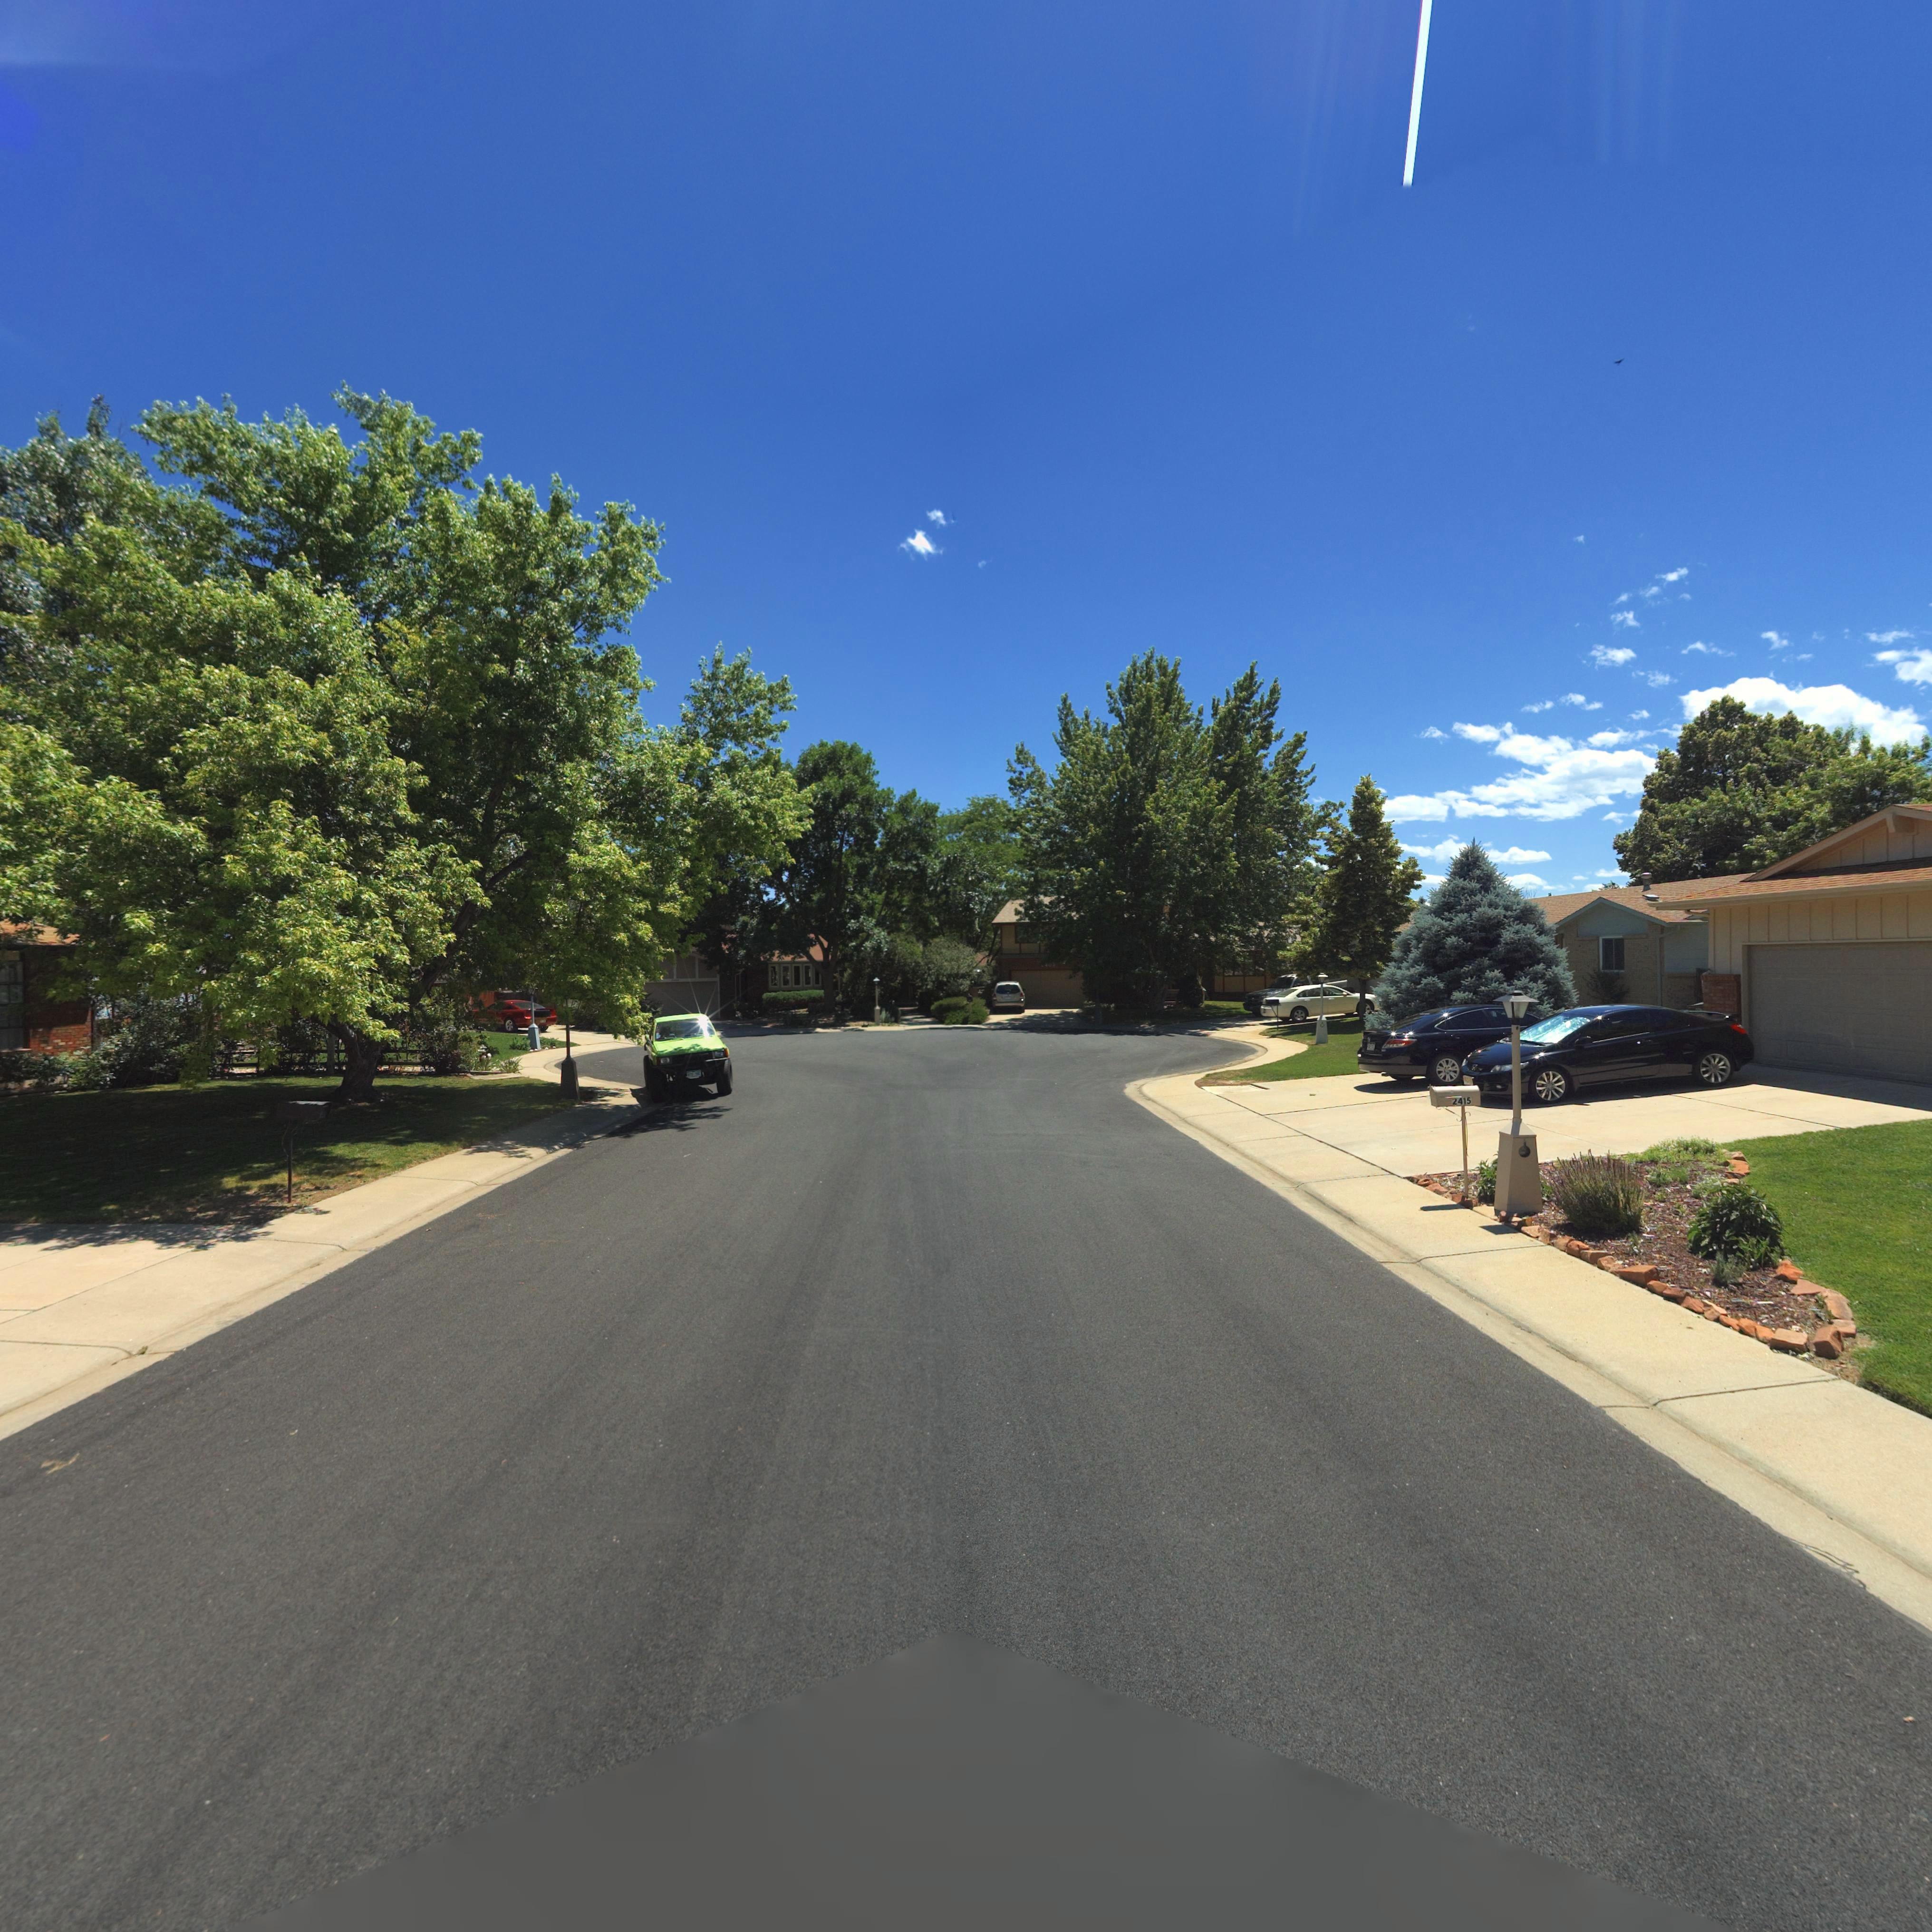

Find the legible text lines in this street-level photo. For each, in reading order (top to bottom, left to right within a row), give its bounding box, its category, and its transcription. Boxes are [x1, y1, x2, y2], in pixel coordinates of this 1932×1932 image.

[1041, 963, 1055, 967] StreetNumber: *40*
[1451, 1097, 1471, 1105] StreetNumber: 2415